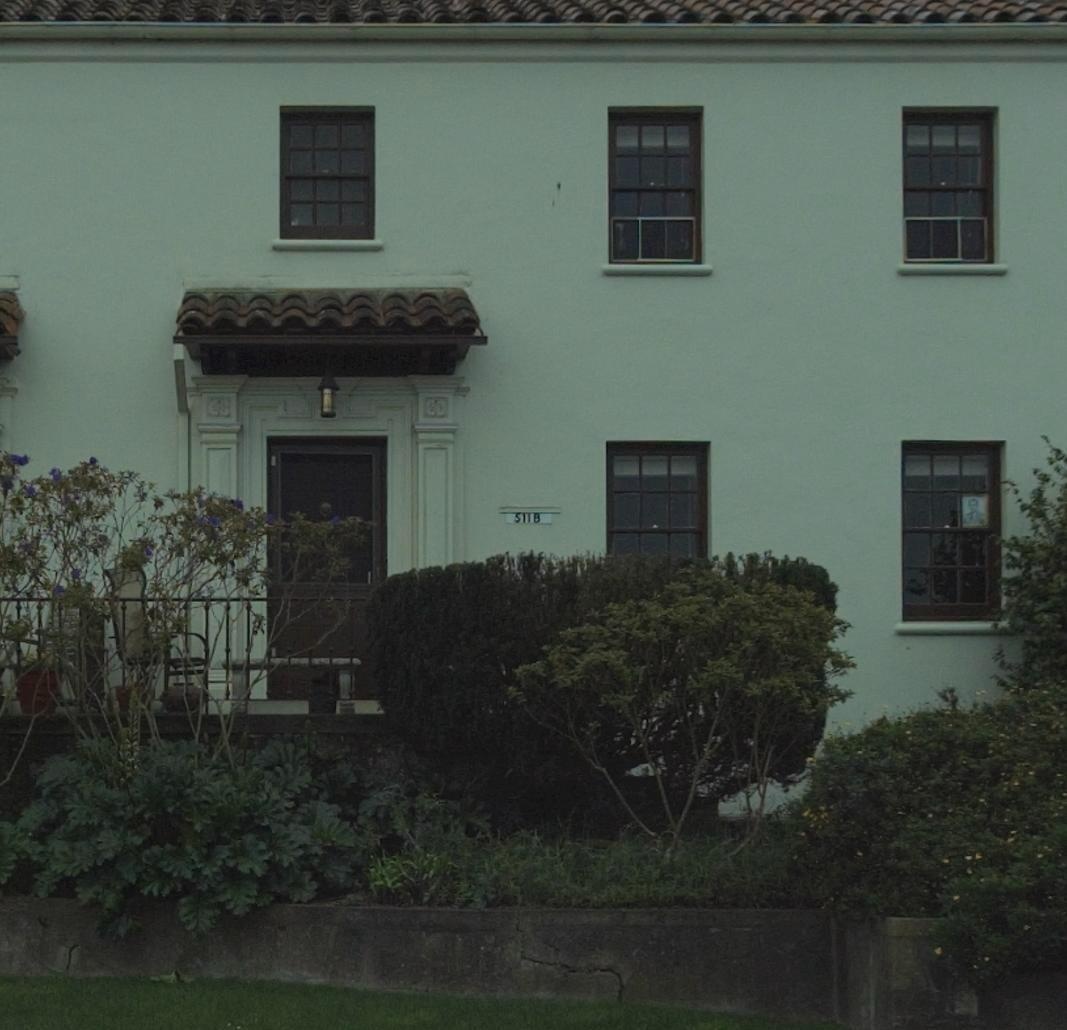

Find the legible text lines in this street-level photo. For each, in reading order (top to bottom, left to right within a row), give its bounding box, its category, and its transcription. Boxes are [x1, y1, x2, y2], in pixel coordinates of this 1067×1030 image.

[514, 512, 541, 524] StreetNumber: 511B